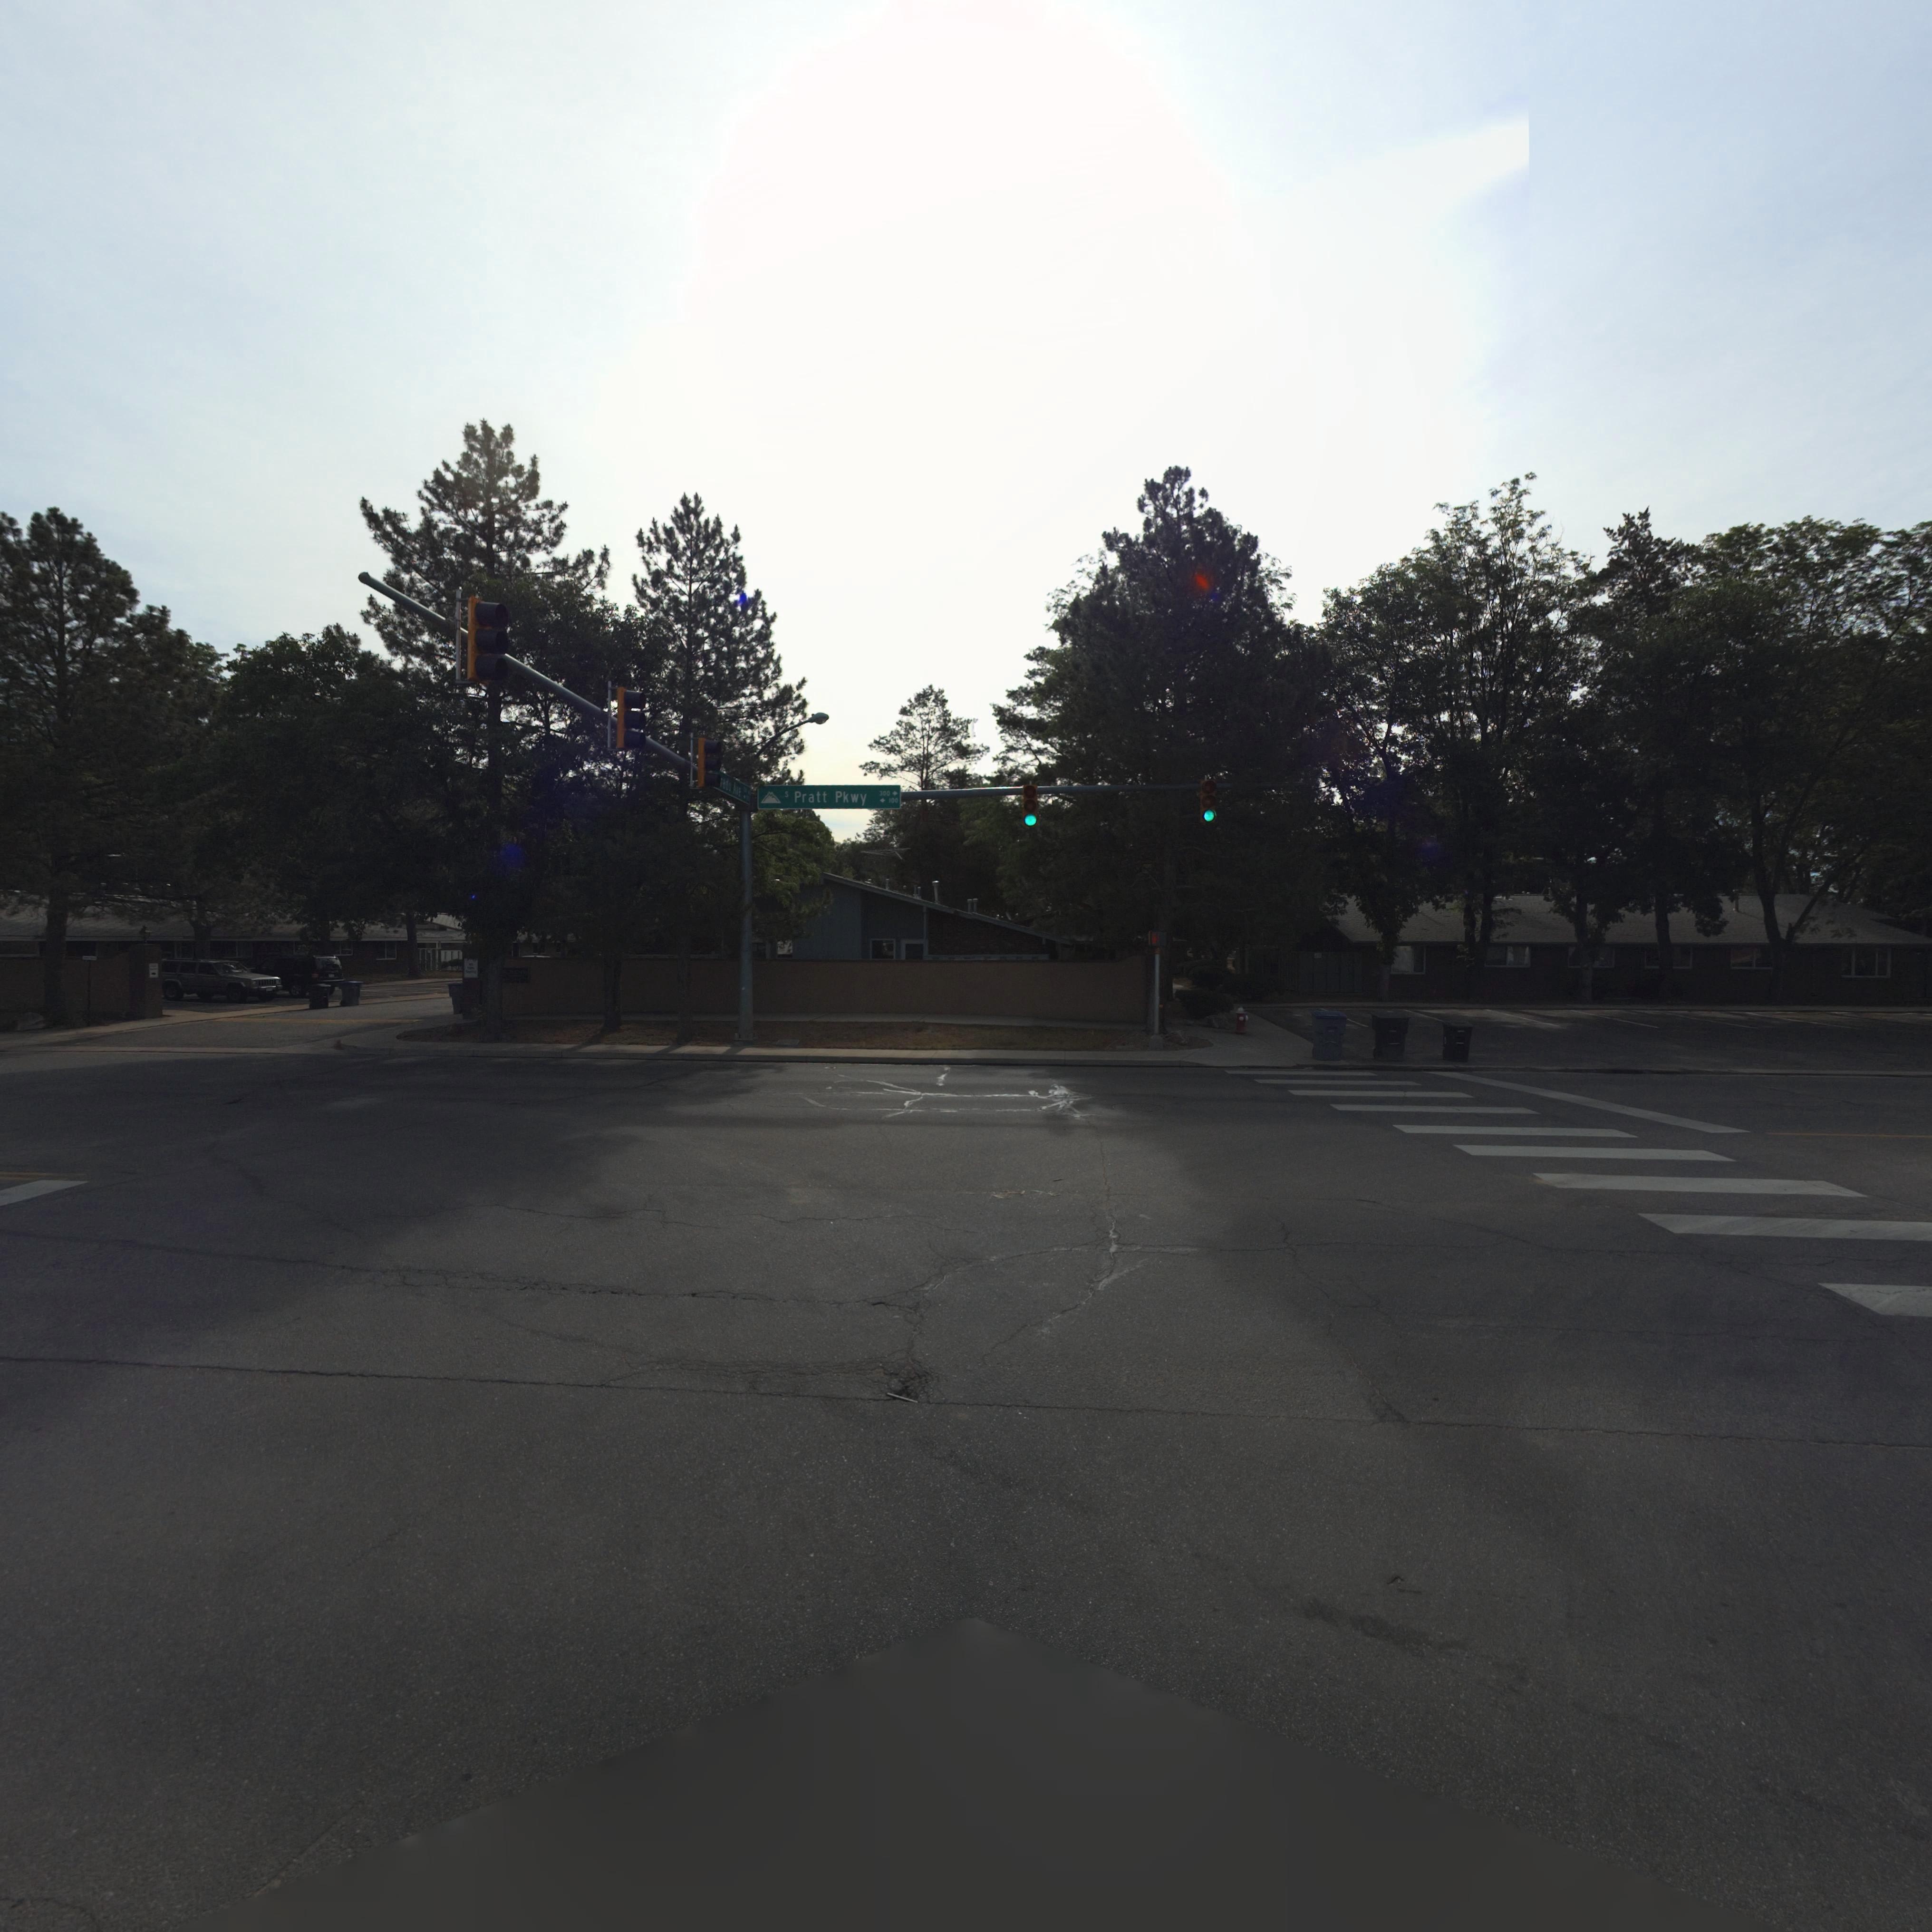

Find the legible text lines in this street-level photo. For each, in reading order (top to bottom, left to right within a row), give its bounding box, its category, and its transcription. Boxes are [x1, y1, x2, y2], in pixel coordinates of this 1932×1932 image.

[719, 778, 741, 797] StreetName: *a*o A*e
[784, 791, 867, 806] StreetName: s Pratt Pkwy
[879, 797, 898, 803] StreetNumberRange: *100
[879, 791, 898, 796] StreetNumberRange: 300->